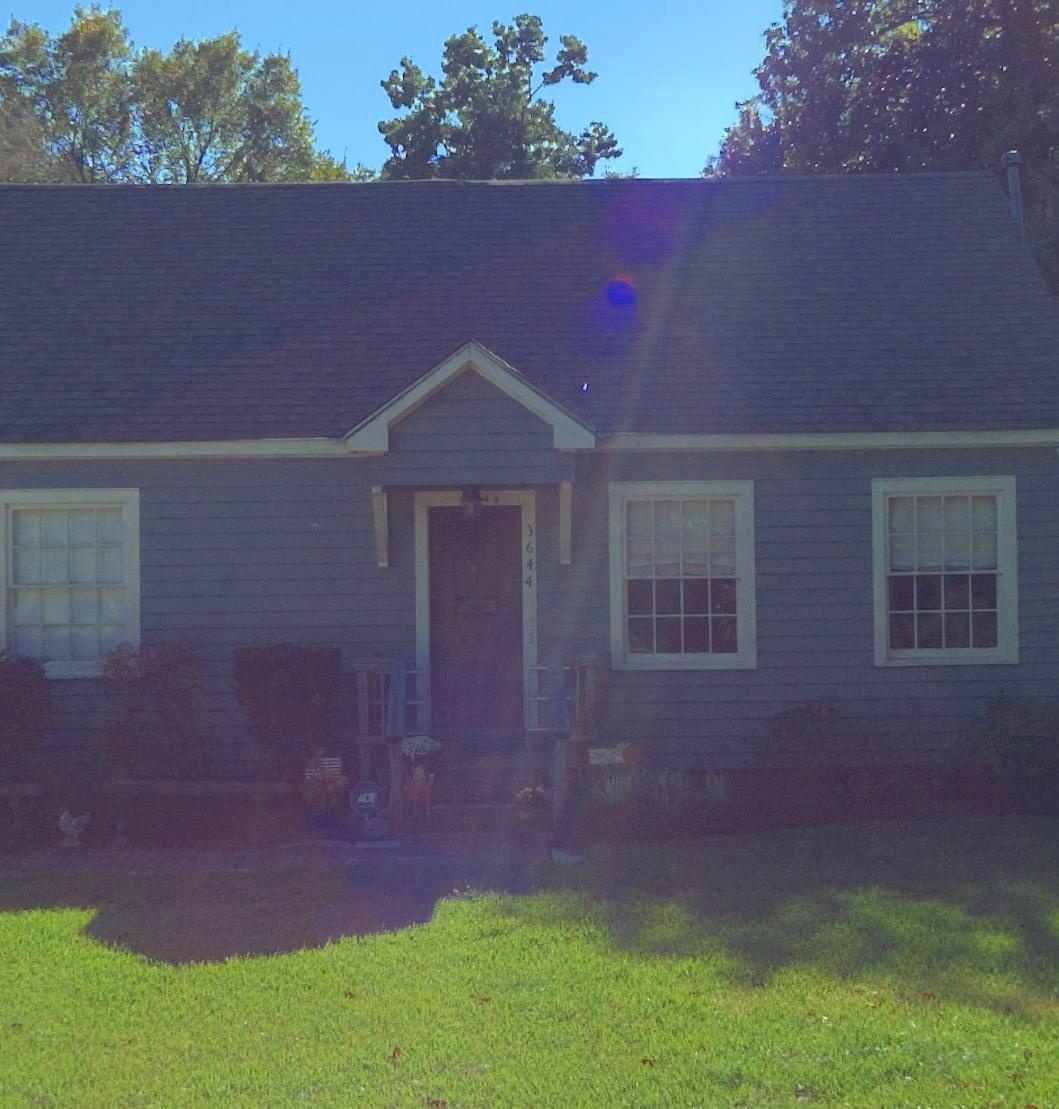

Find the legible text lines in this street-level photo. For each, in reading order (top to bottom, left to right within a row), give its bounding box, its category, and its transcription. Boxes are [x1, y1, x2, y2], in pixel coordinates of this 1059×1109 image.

[524, 523, 536, 589] StreetNumber: 3644
[355, 791, 378, 805] None: ADT